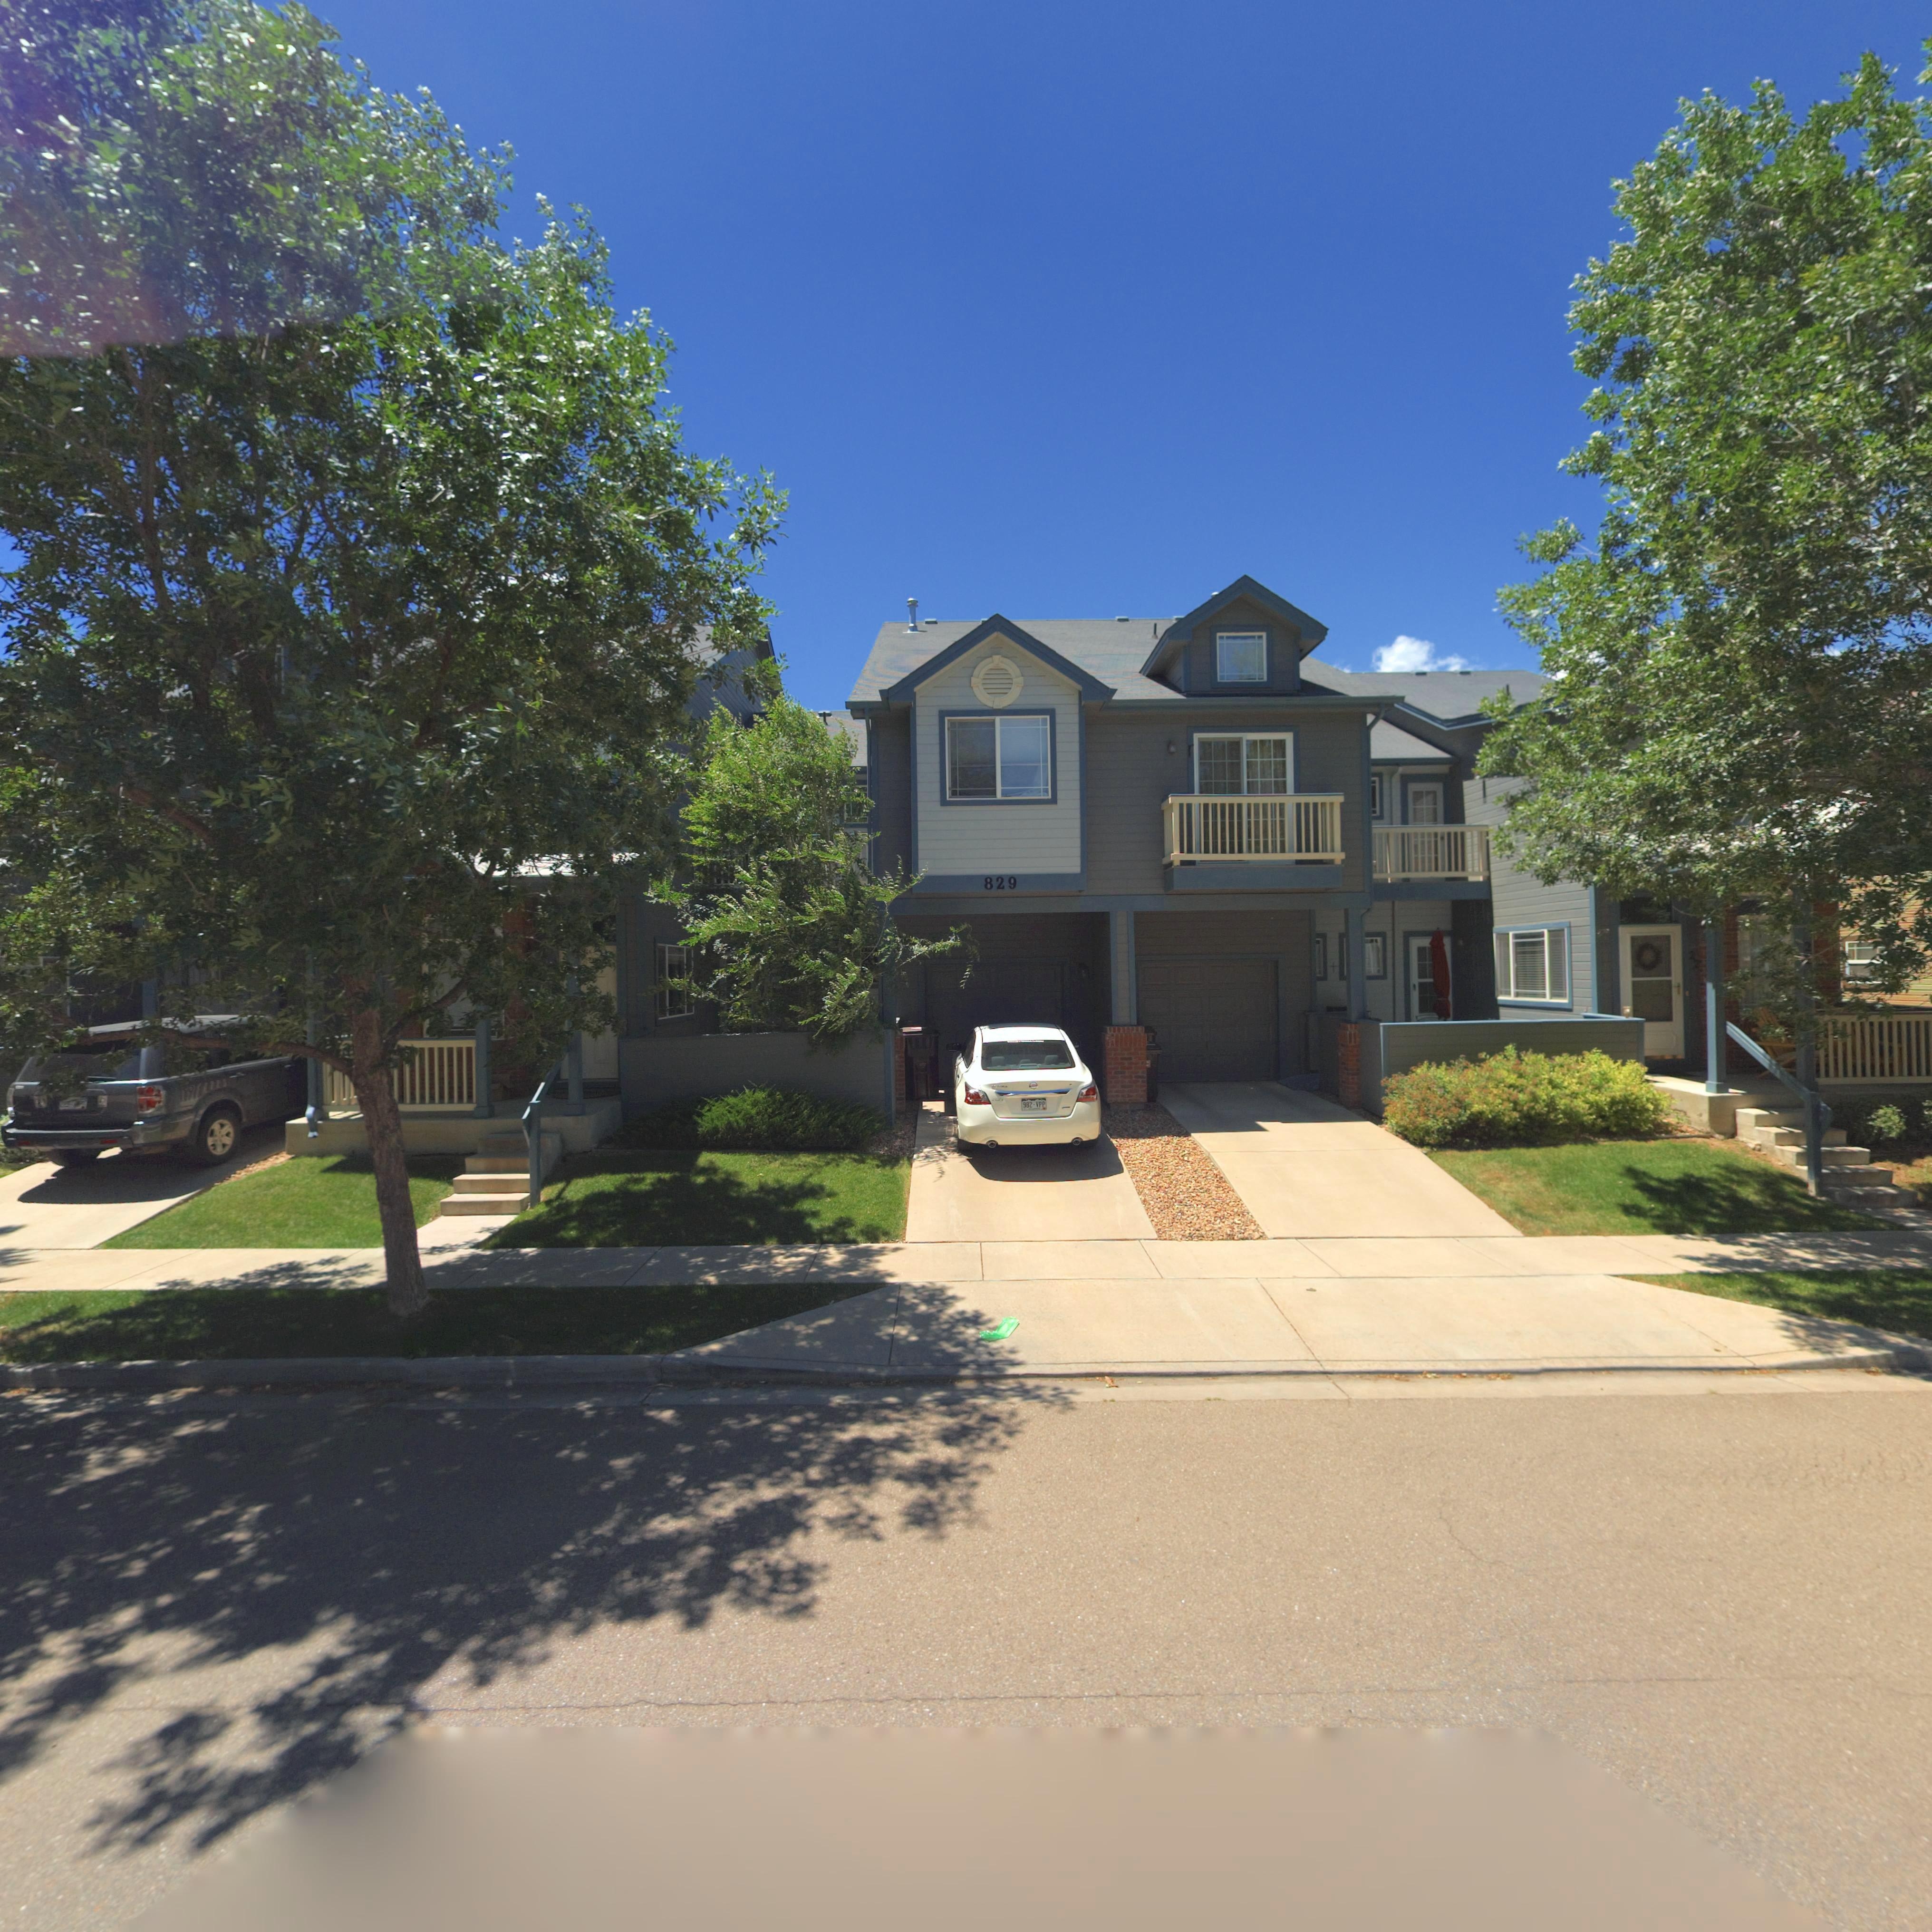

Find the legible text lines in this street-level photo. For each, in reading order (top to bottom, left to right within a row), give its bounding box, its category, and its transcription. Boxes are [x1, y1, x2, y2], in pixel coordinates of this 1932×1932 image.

[984, 876, 1016, 889] StreetNumber: 829
[1688, 949, 1702, 969] StreetNumber: 27